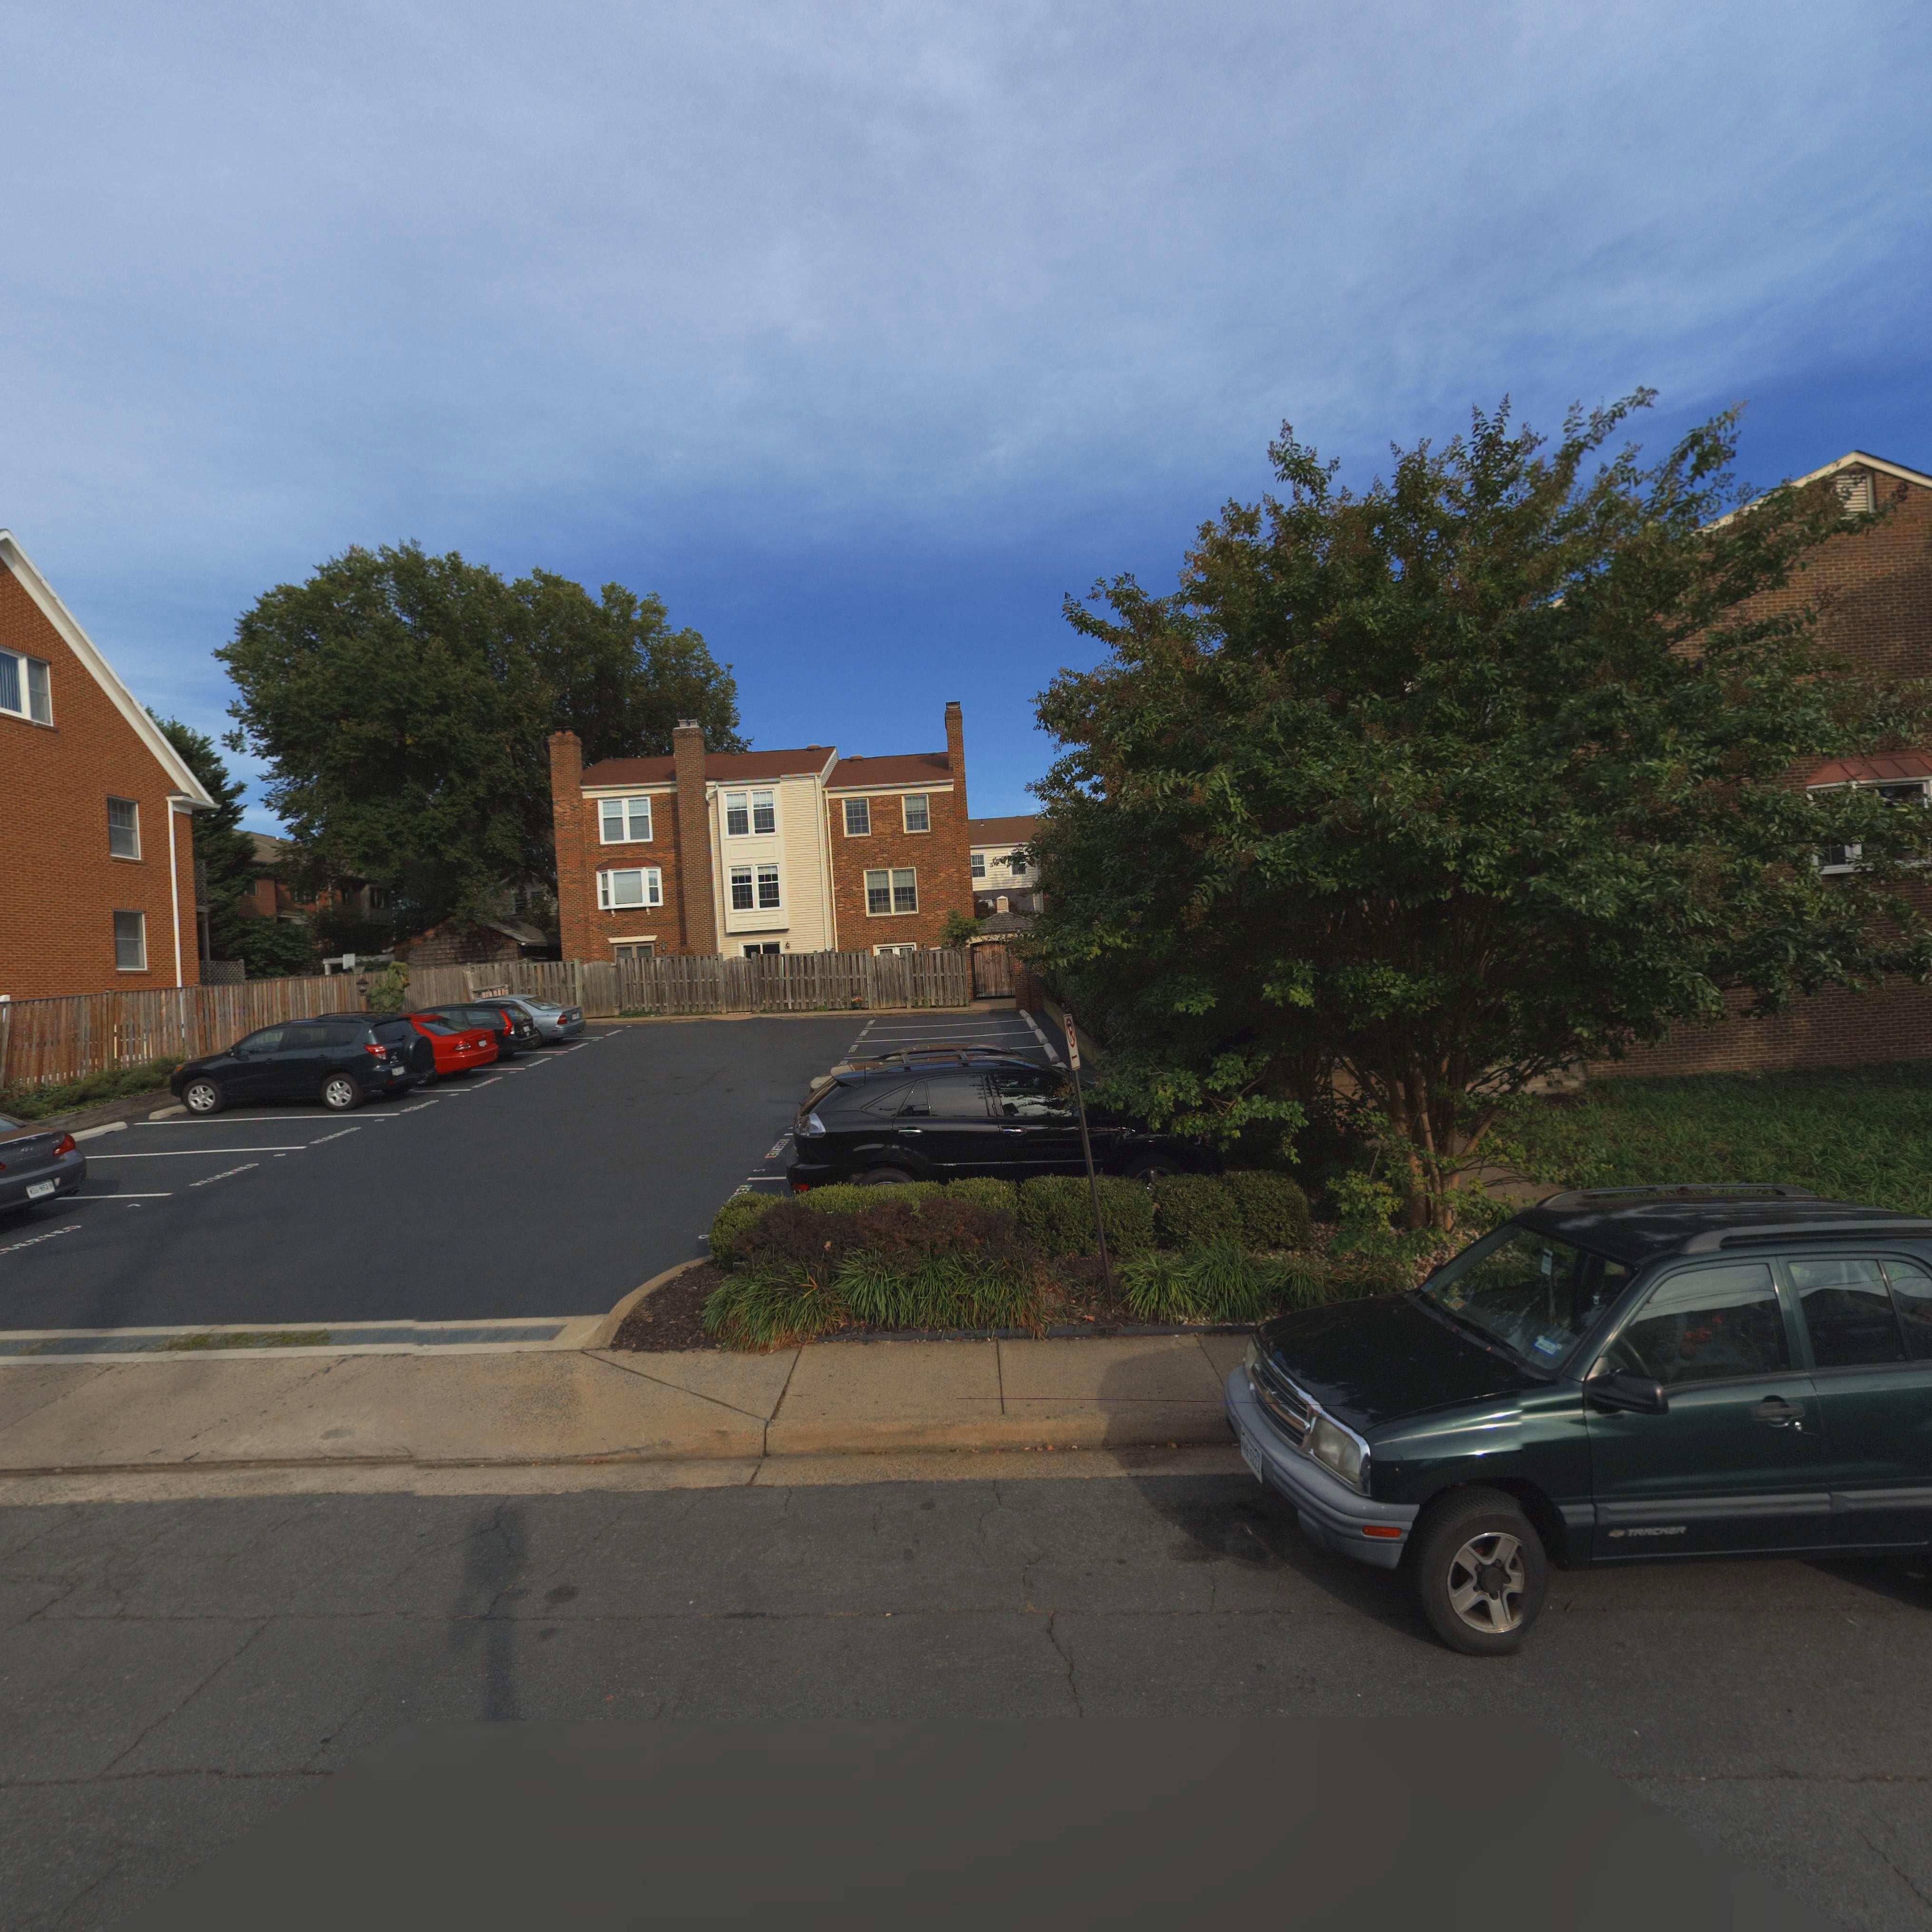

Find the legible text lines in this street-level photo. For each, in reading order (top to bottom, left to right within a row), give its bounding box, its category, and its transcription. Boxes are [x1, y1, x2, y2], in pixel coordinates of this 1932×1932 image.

[28, 1181, 55, 1195] None: WSS 45**
[1627, 1526, 1687, 1537] None: TRACKER